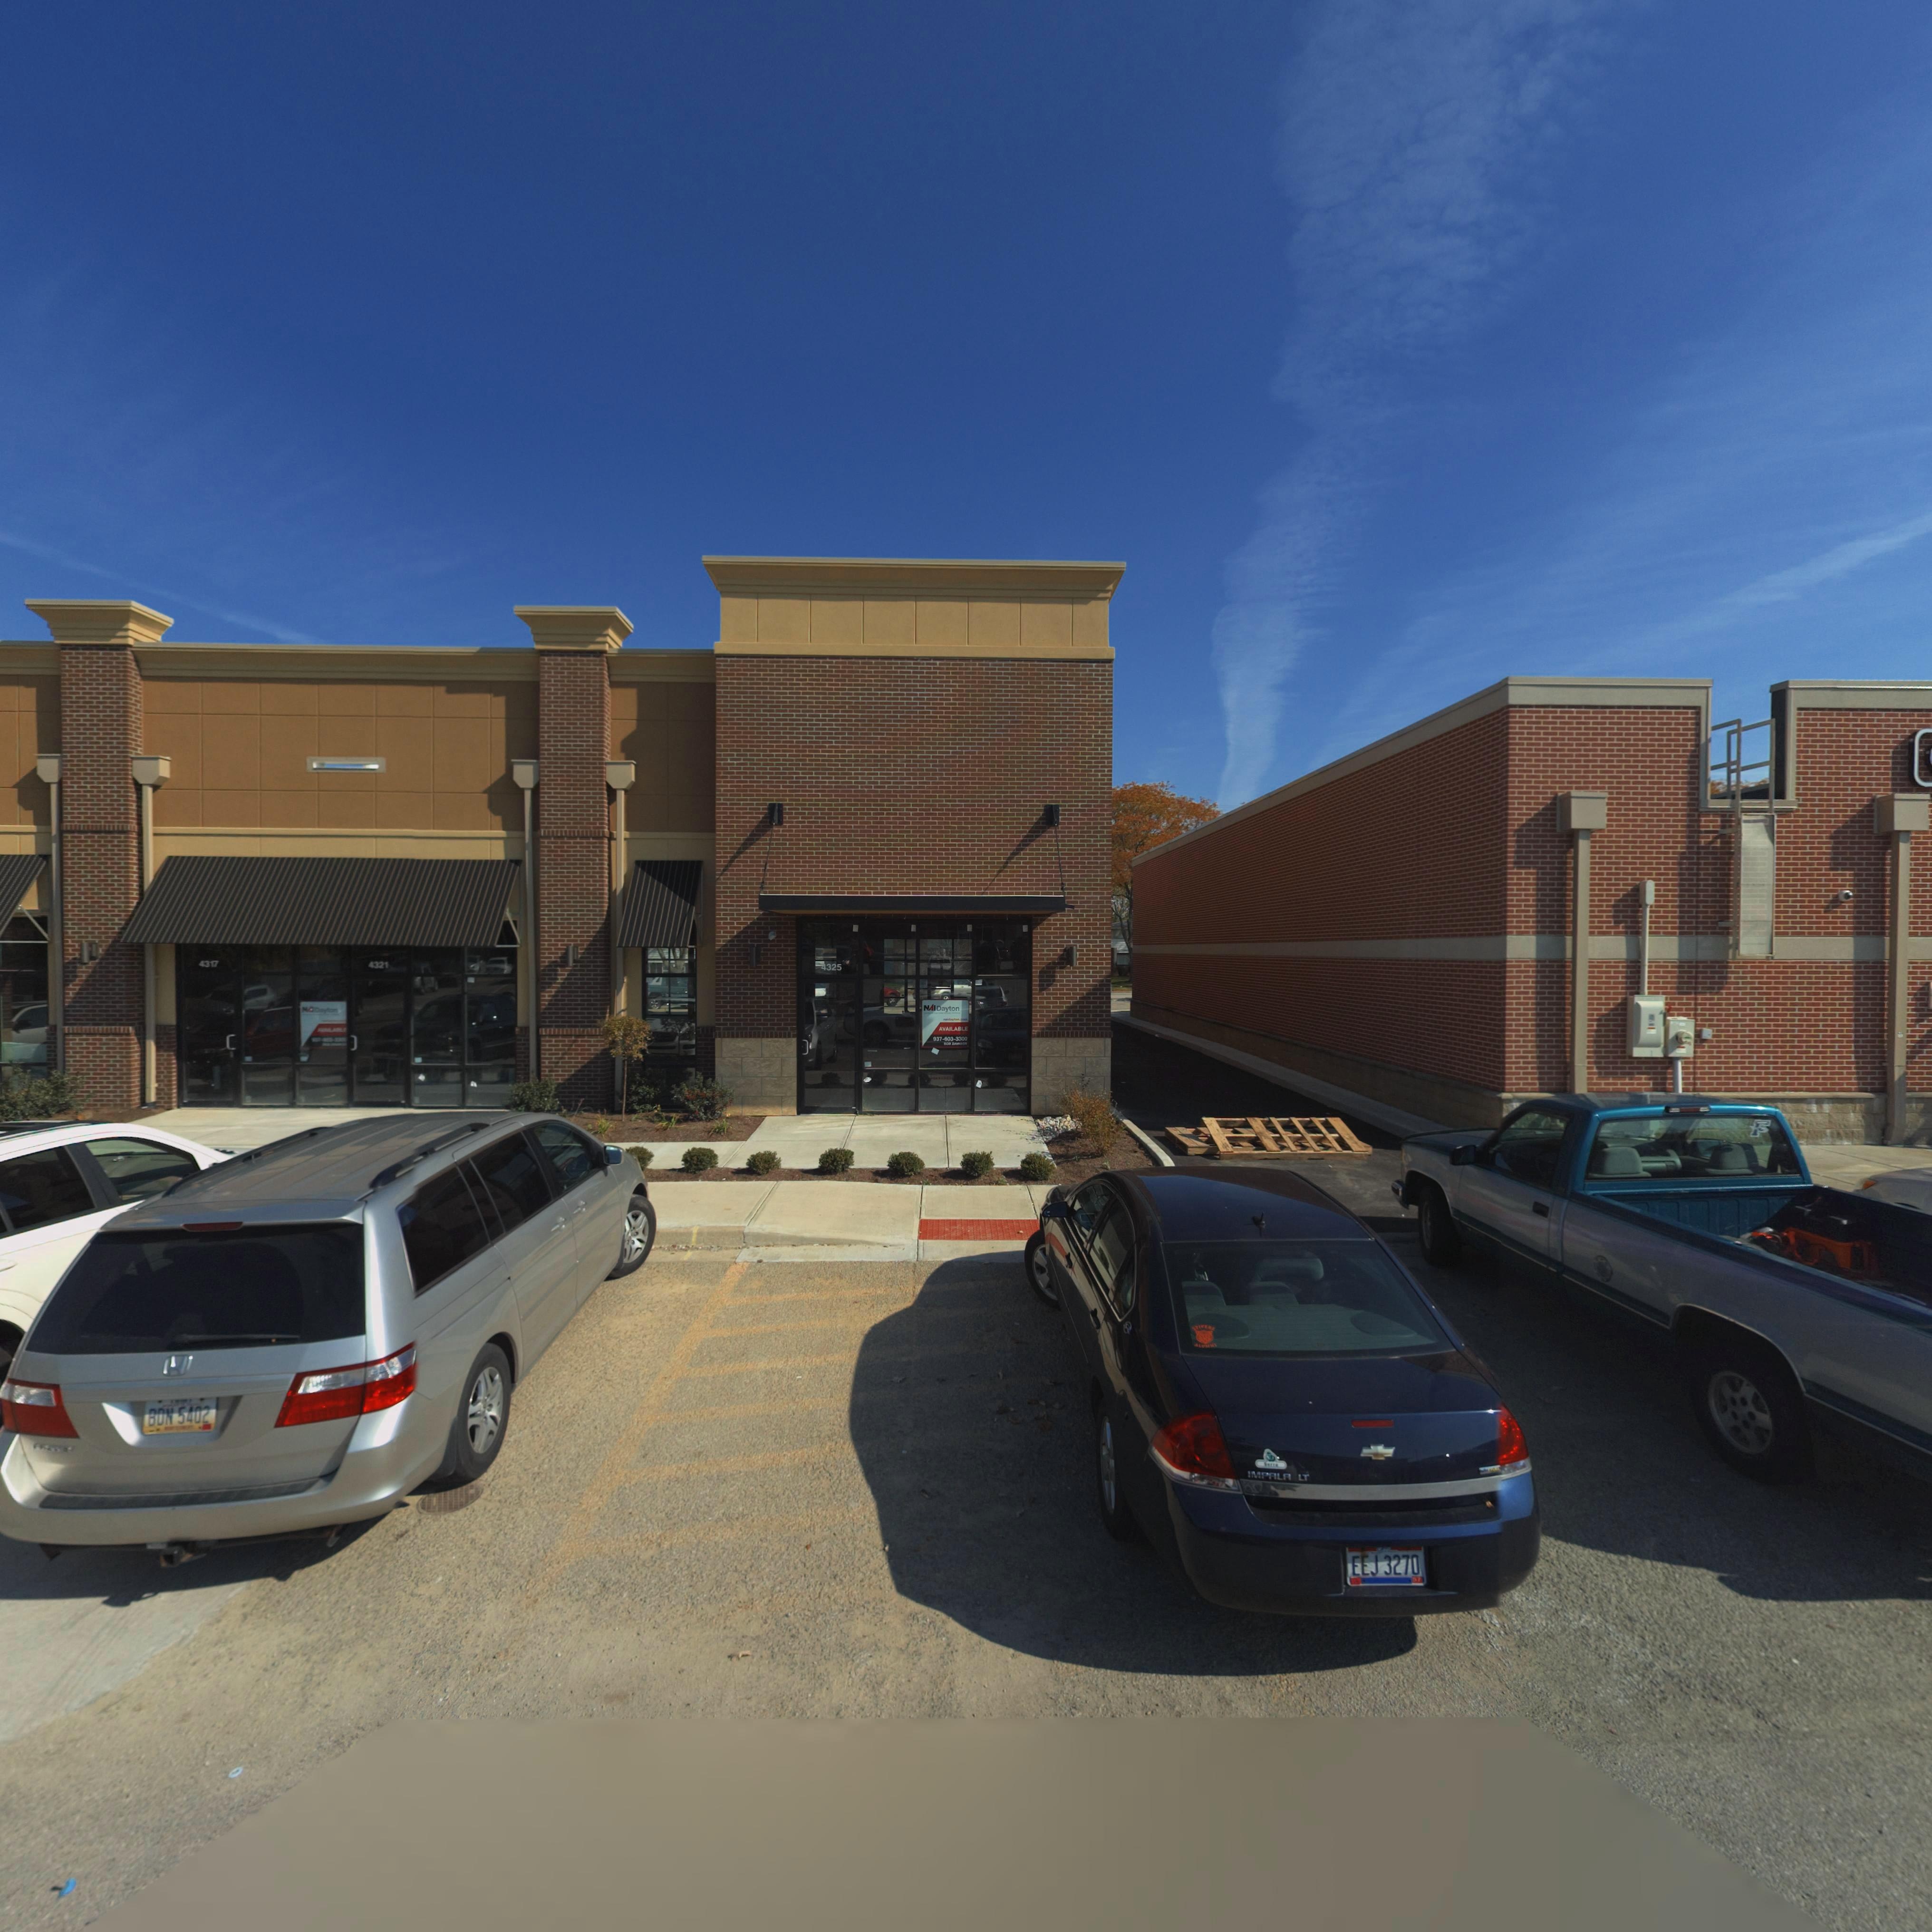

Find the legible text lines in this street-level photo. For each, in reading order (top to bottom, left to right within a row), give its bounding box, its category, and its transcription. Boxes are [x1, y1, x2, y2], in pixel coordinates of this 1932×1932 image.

[197, 959, 221, 968] StreetNumber: 4317
[367, 959, 390, 970] StreetNumber: 4321
[820, 963, 843, 972] StreetNumber: 4325